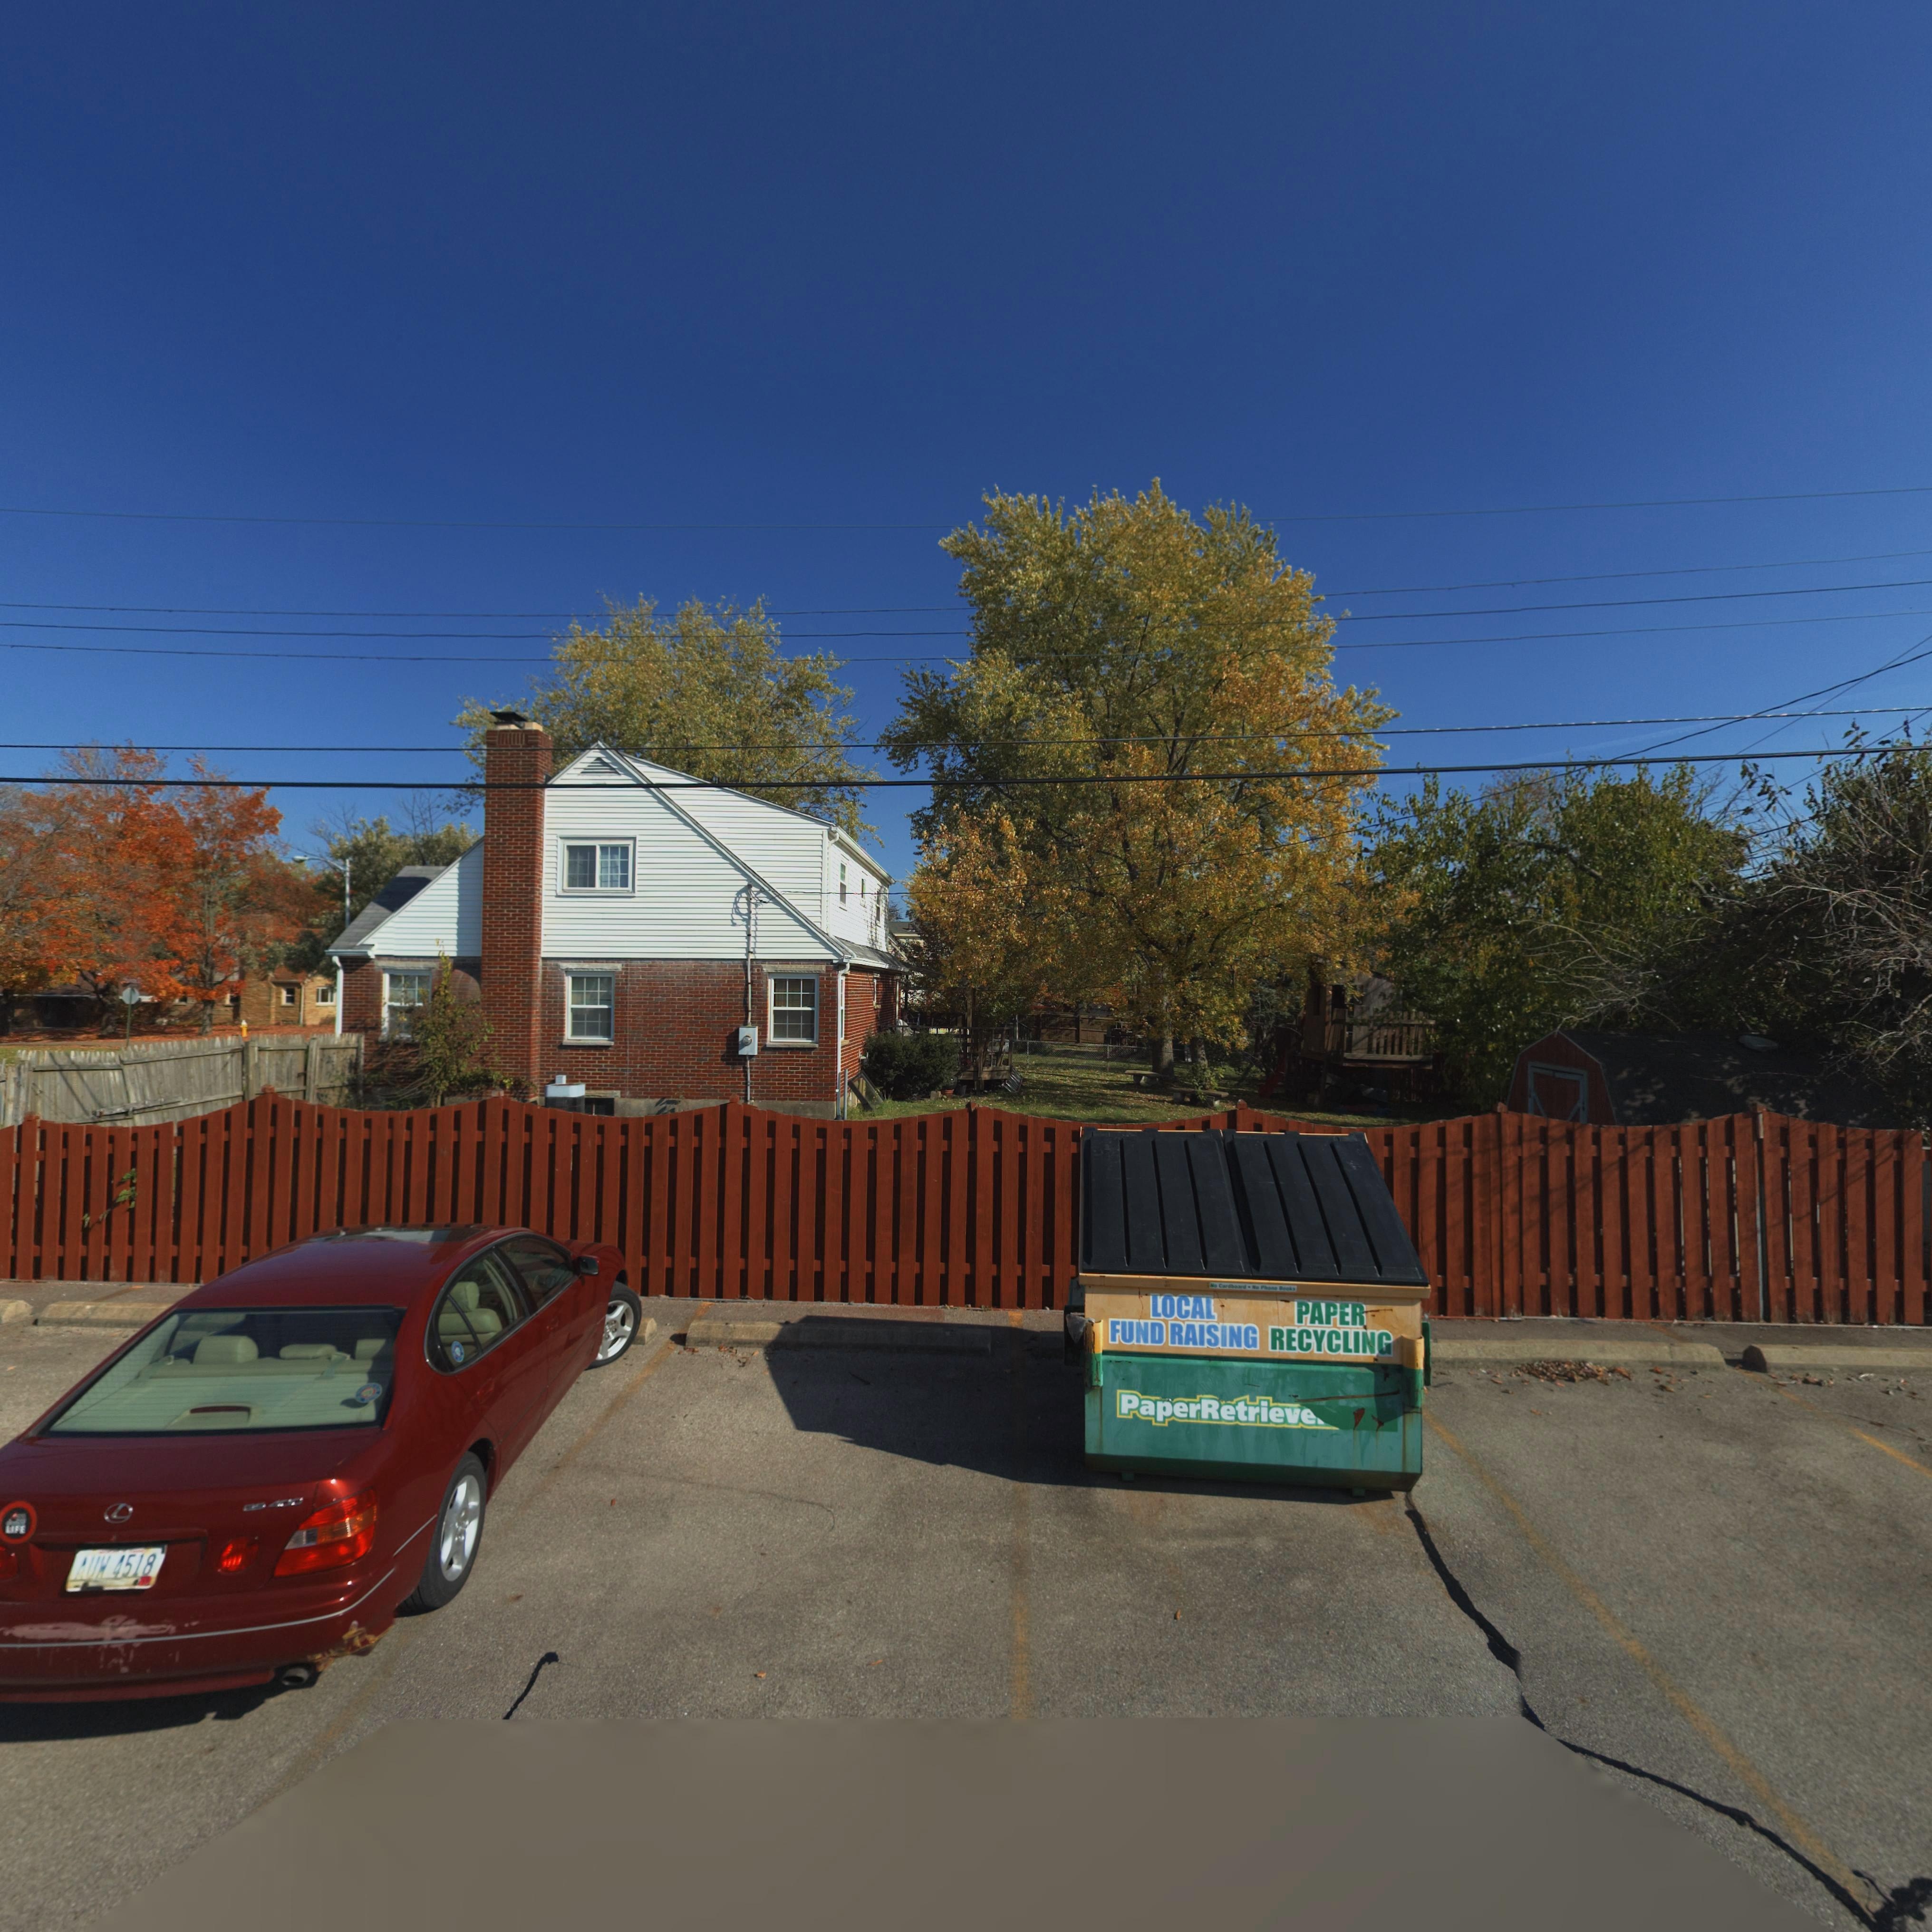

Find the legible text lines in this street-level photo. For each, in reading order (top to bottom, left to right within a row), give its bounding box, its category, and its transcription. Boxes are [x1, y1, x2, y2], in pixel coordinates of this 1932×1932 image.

[1209, 1283, 1296, 1291] None: No Cardboard * No Phone Books
[1150, 1294, 1217, 1321] None: LOCAL
[1296, 1301, 1365, 1327] None: PAPER
[1109, 1319, 1258, 1350] None: FUND RAISING
[1270, 1328, 1392, 1356] None: RECYCLING
[1120, 1393, 1302, 1424] None: PAPERRetriev
[267, 1497, 304, 1508] None: 400
[73, 1553, 158, 1580] None: AU**4518